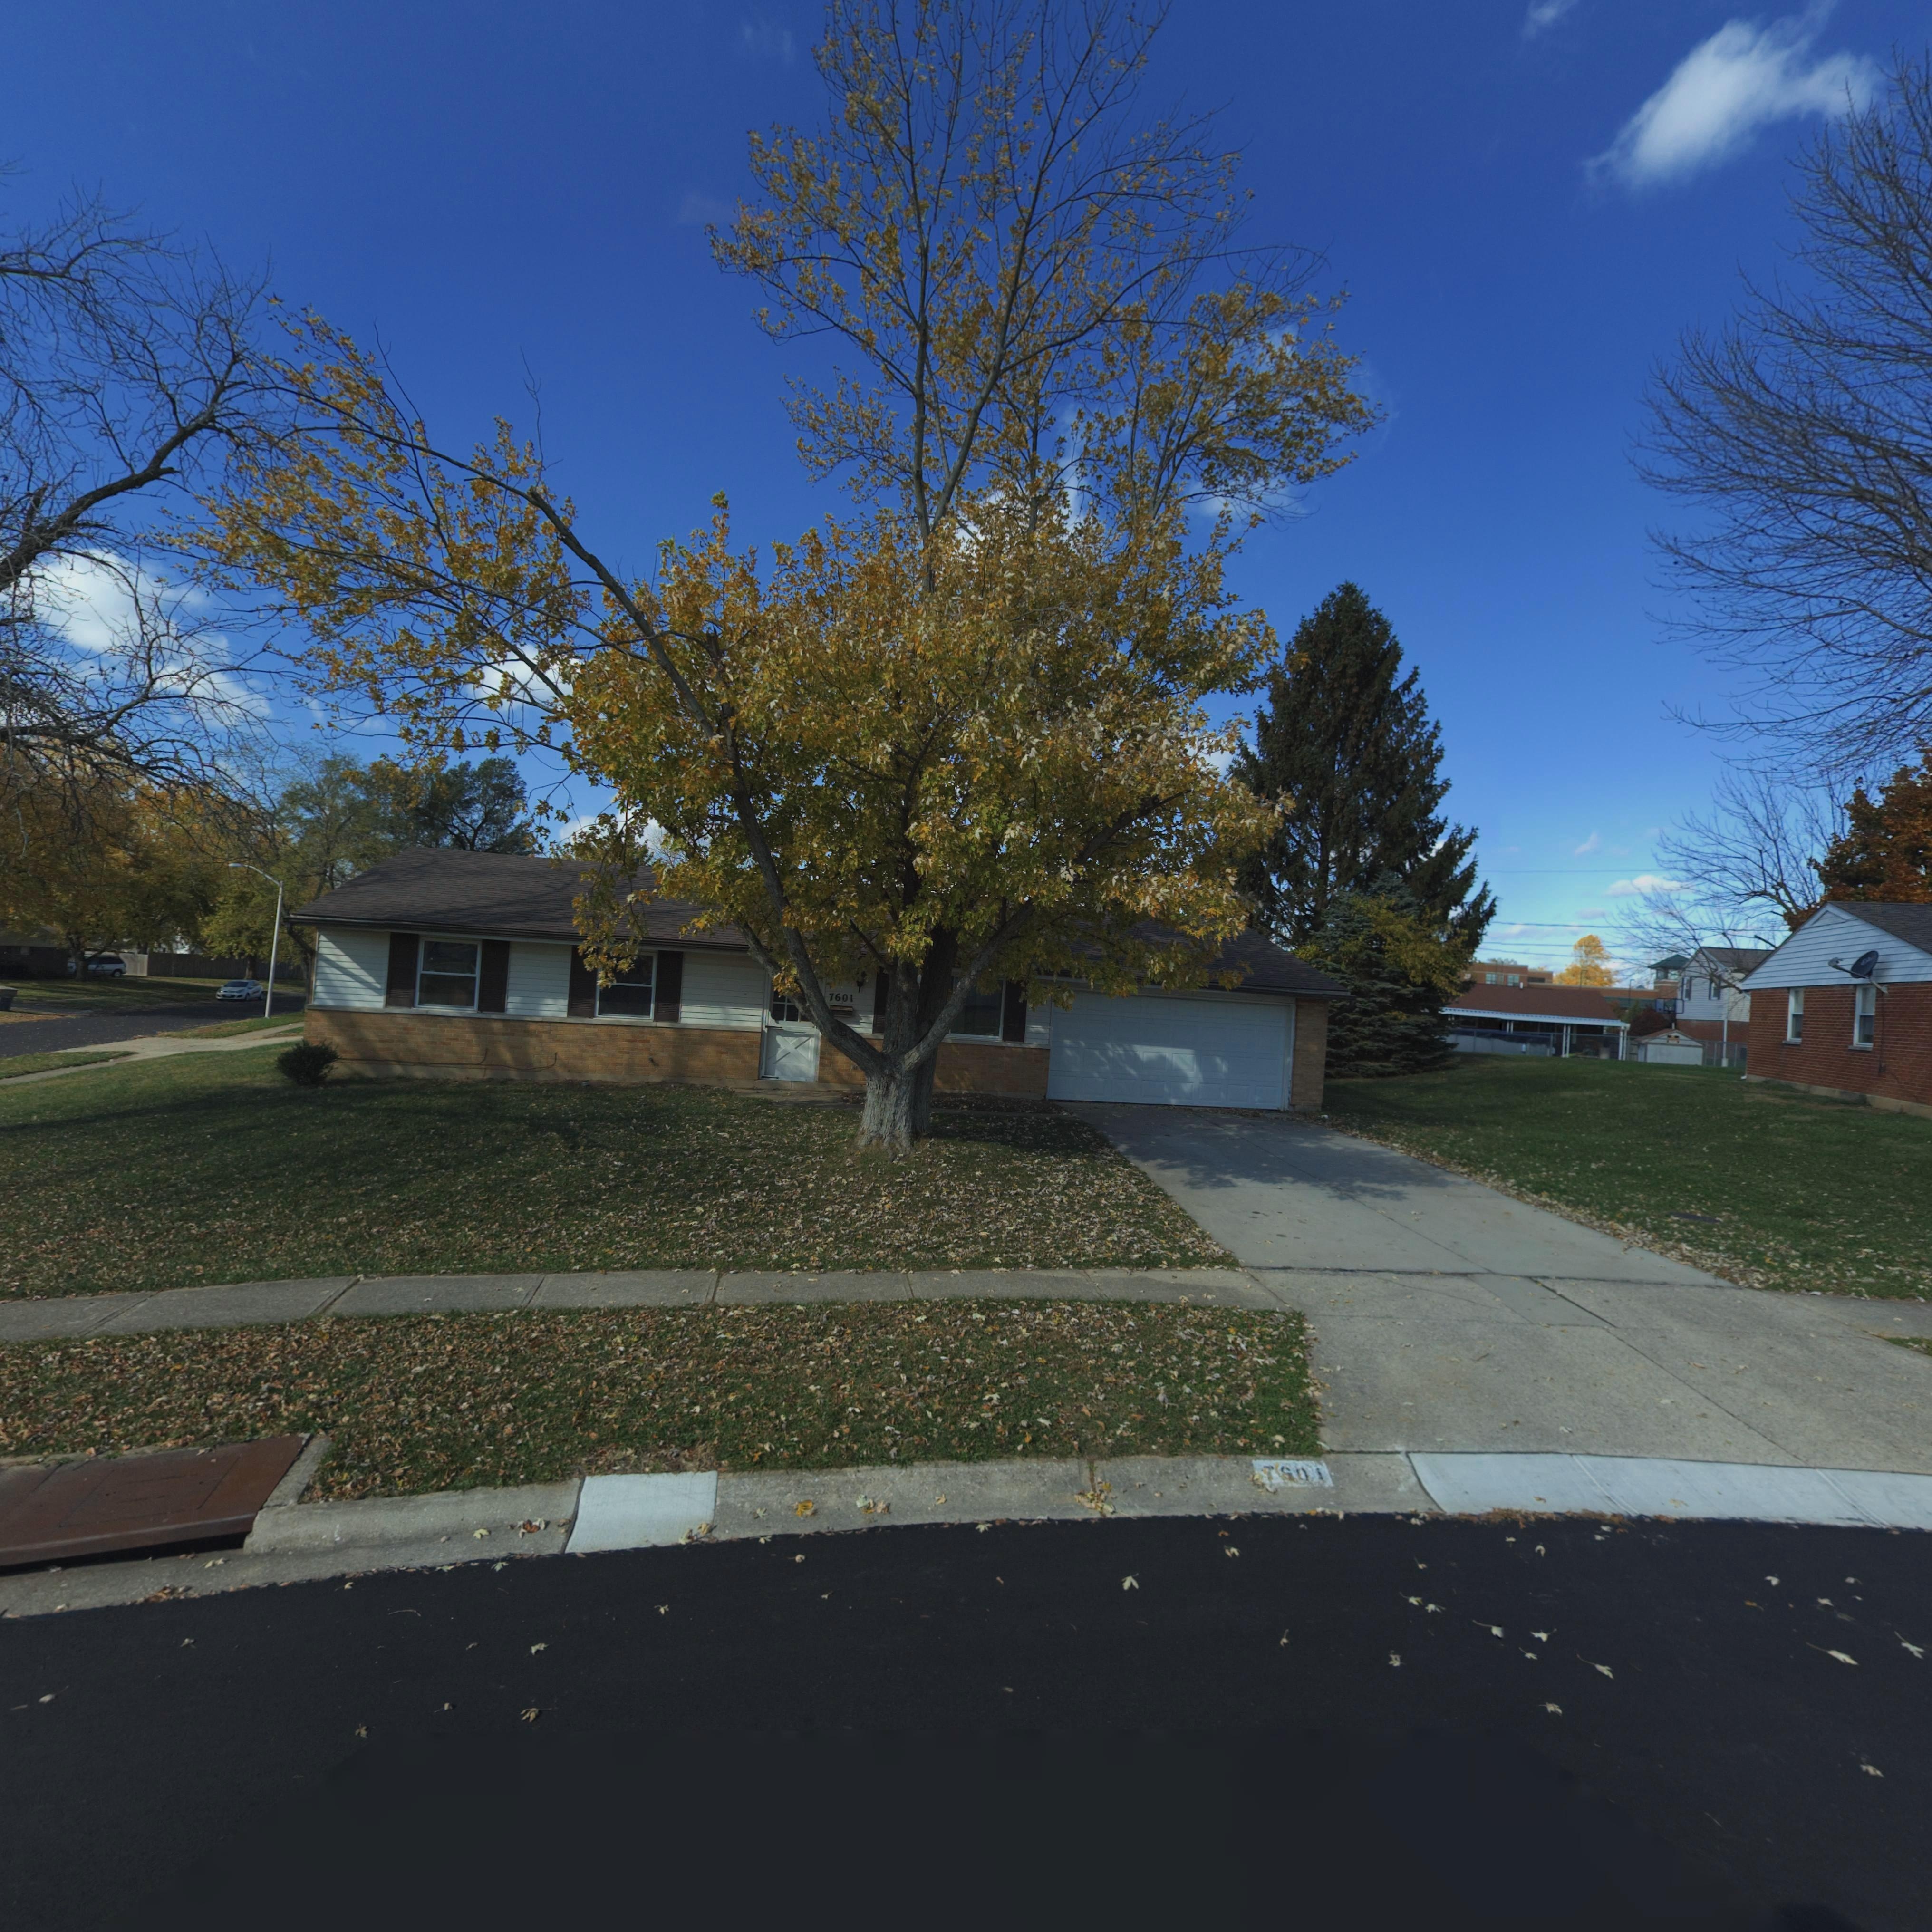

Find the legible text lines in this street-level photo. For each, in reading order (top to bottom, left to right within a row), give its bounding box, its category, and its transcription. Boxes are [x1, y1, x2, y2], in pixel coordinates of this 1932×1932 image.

[829, 993, 853, 1003] StreetNumber: 7601
[1262, 1465, 1326, 1483] StreetNumber: 7601